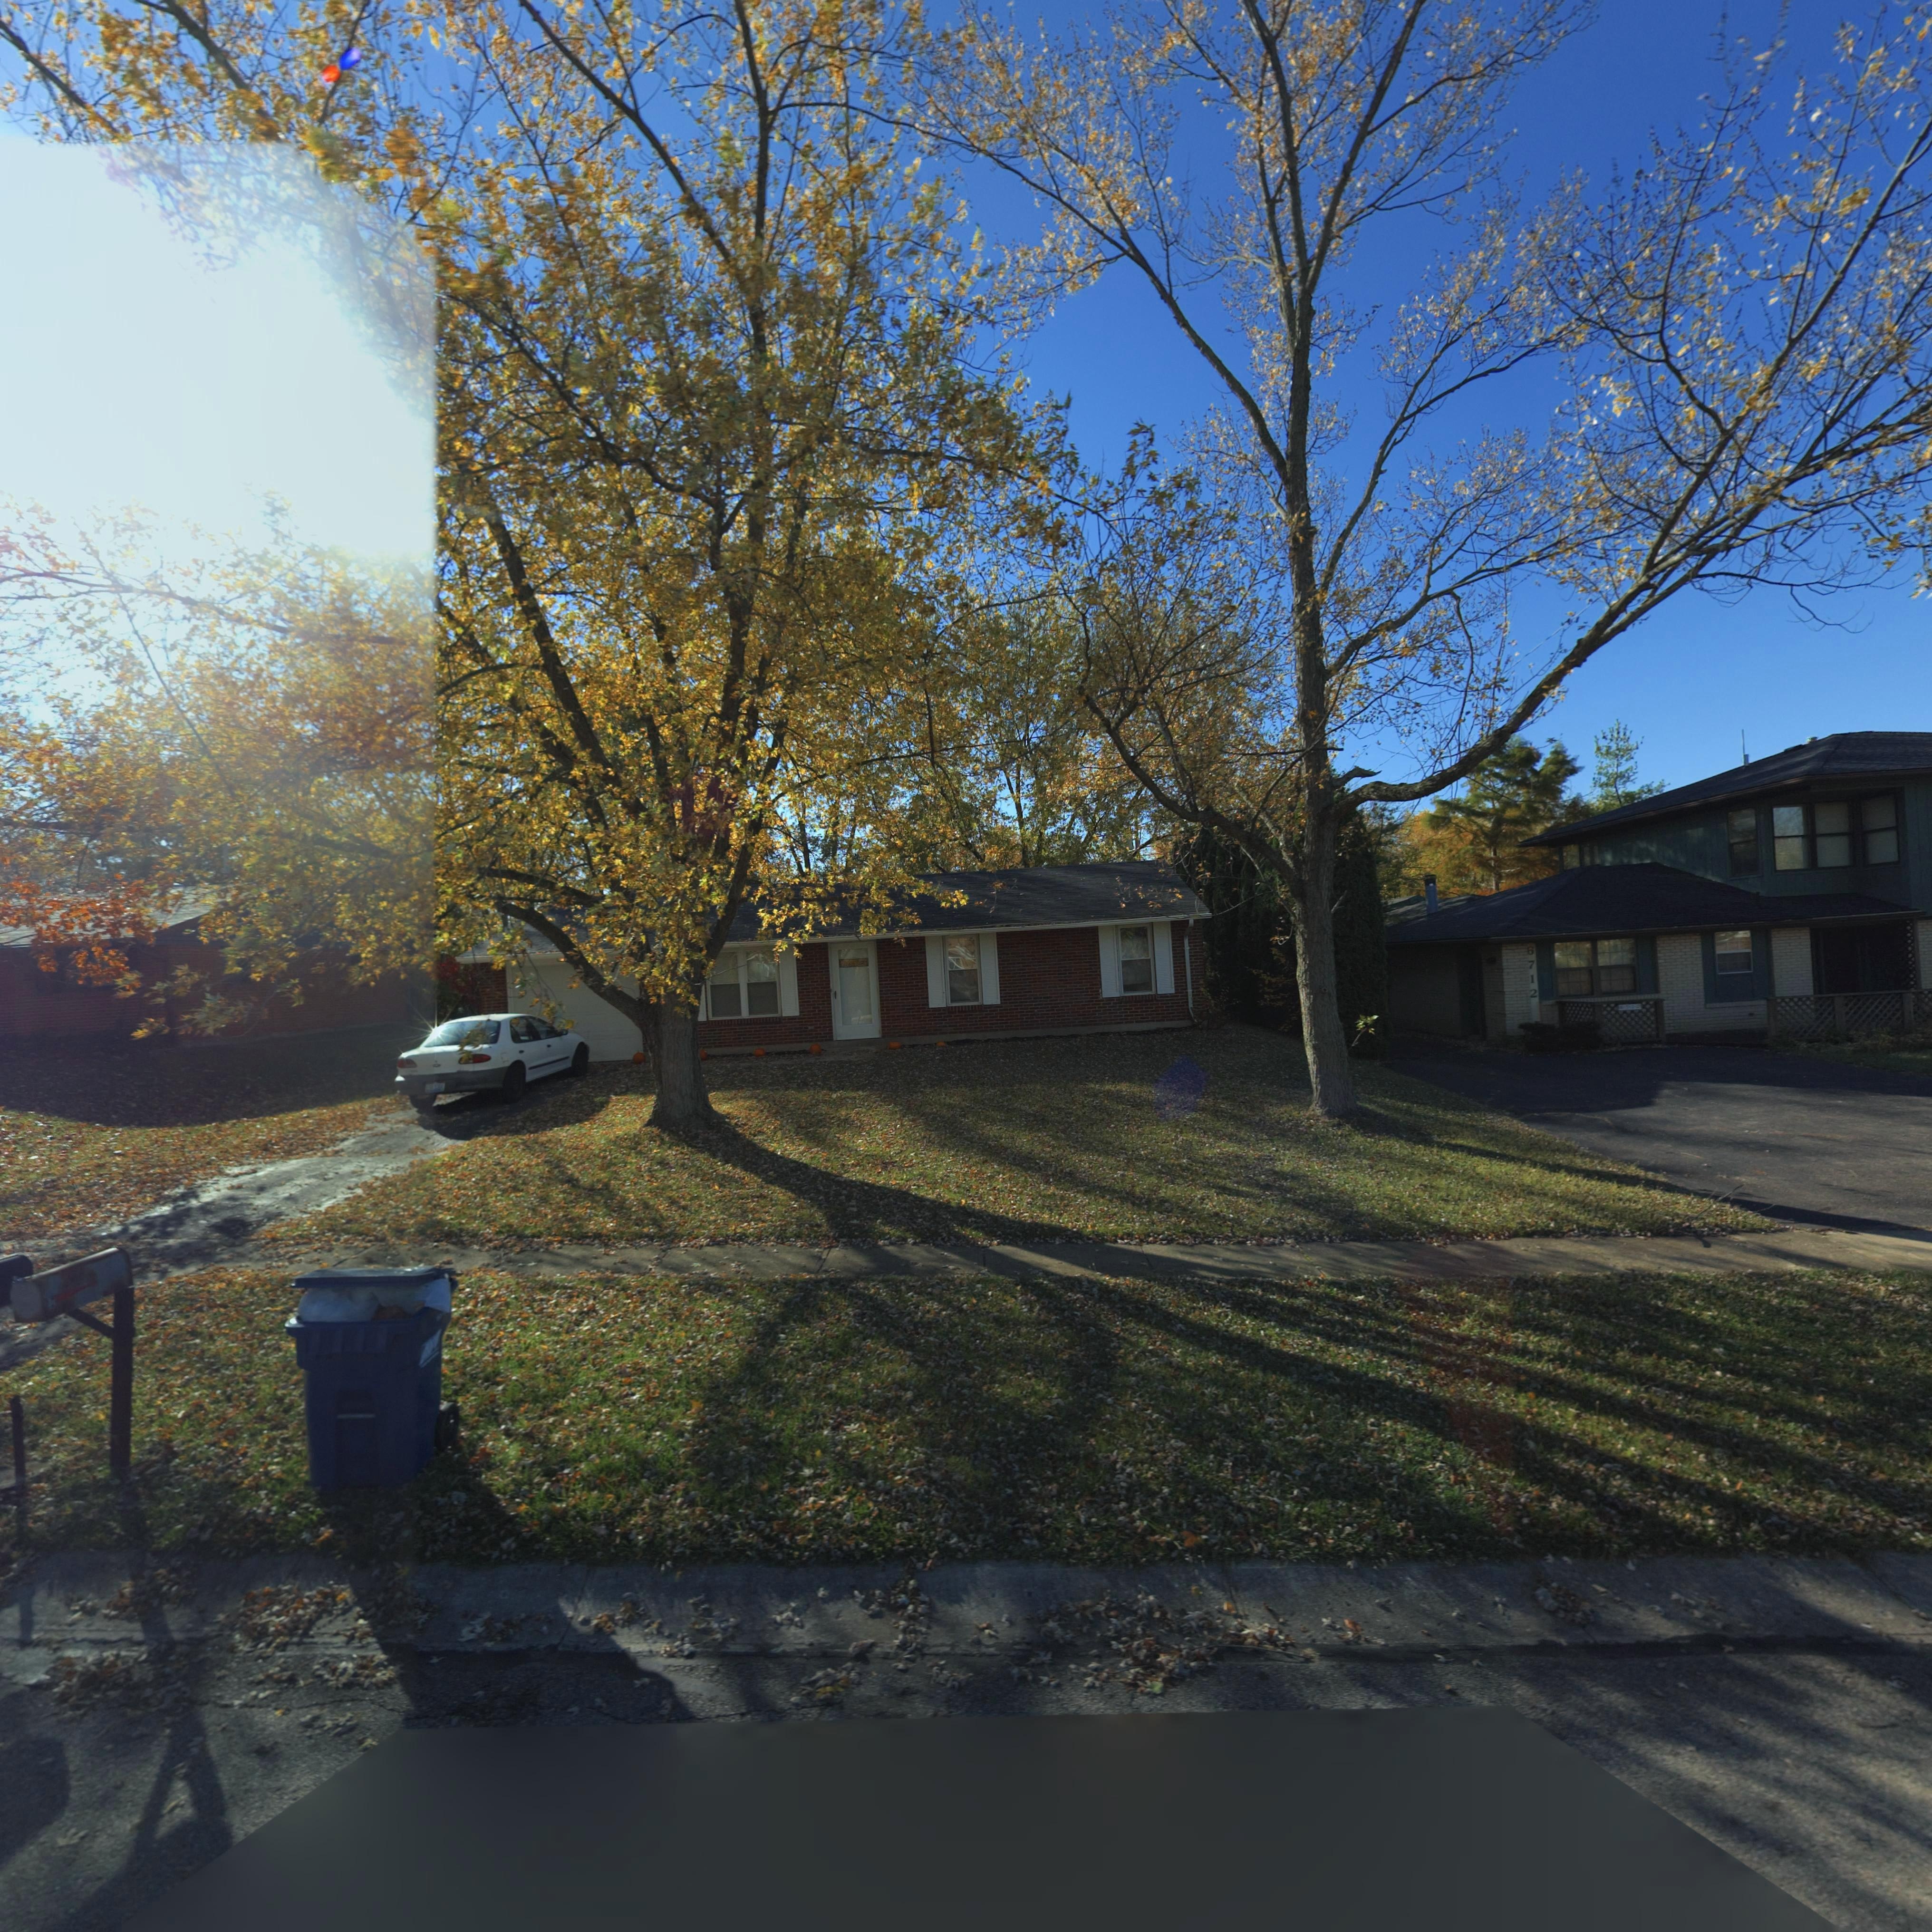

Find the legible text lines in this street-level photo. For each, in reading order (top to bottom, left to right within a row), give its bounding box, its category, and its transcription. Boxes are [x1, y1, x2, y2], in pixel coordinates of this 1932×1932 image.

[1526, 945, 1538, 999] StreetNumber: 6712